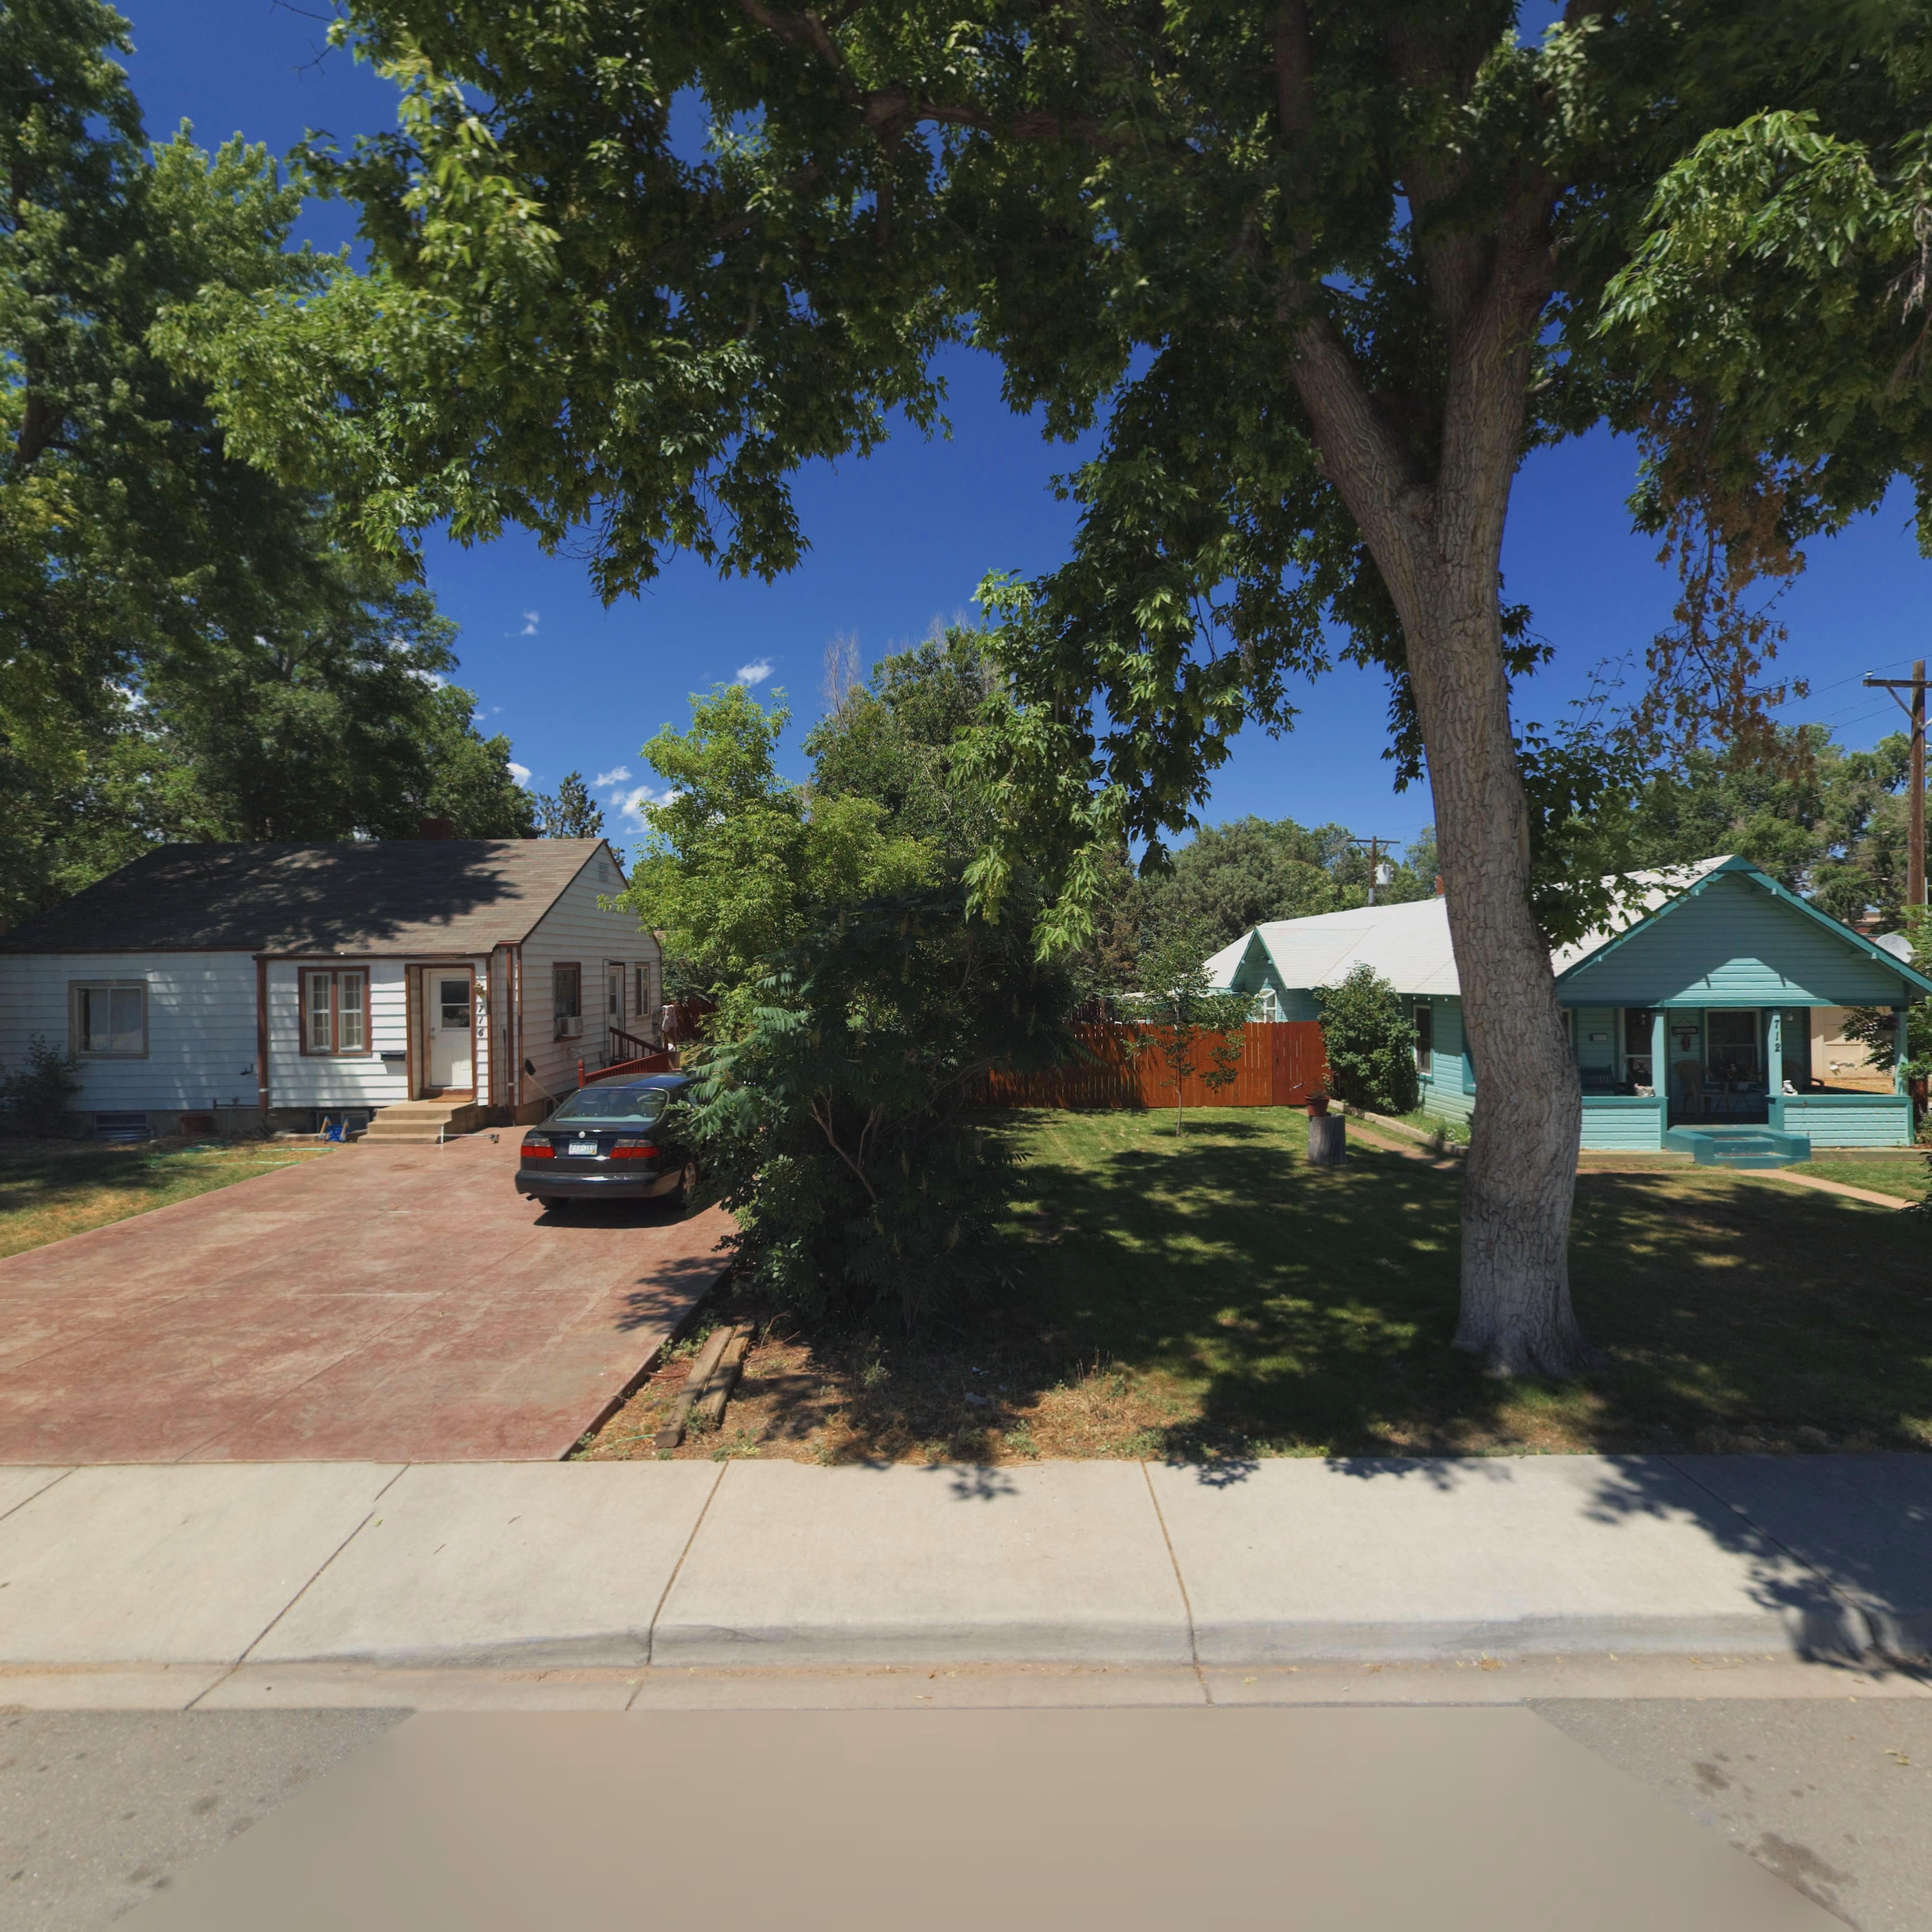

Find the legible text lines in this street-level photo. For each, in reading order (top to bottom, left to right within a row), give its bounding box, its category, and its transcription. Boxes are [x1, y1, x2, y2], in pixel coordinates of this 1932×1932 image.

[478, 1004, 485, 1037] StreetNumber: 716
[1773, 1018, 1780, 1053] StreetNumber: 712